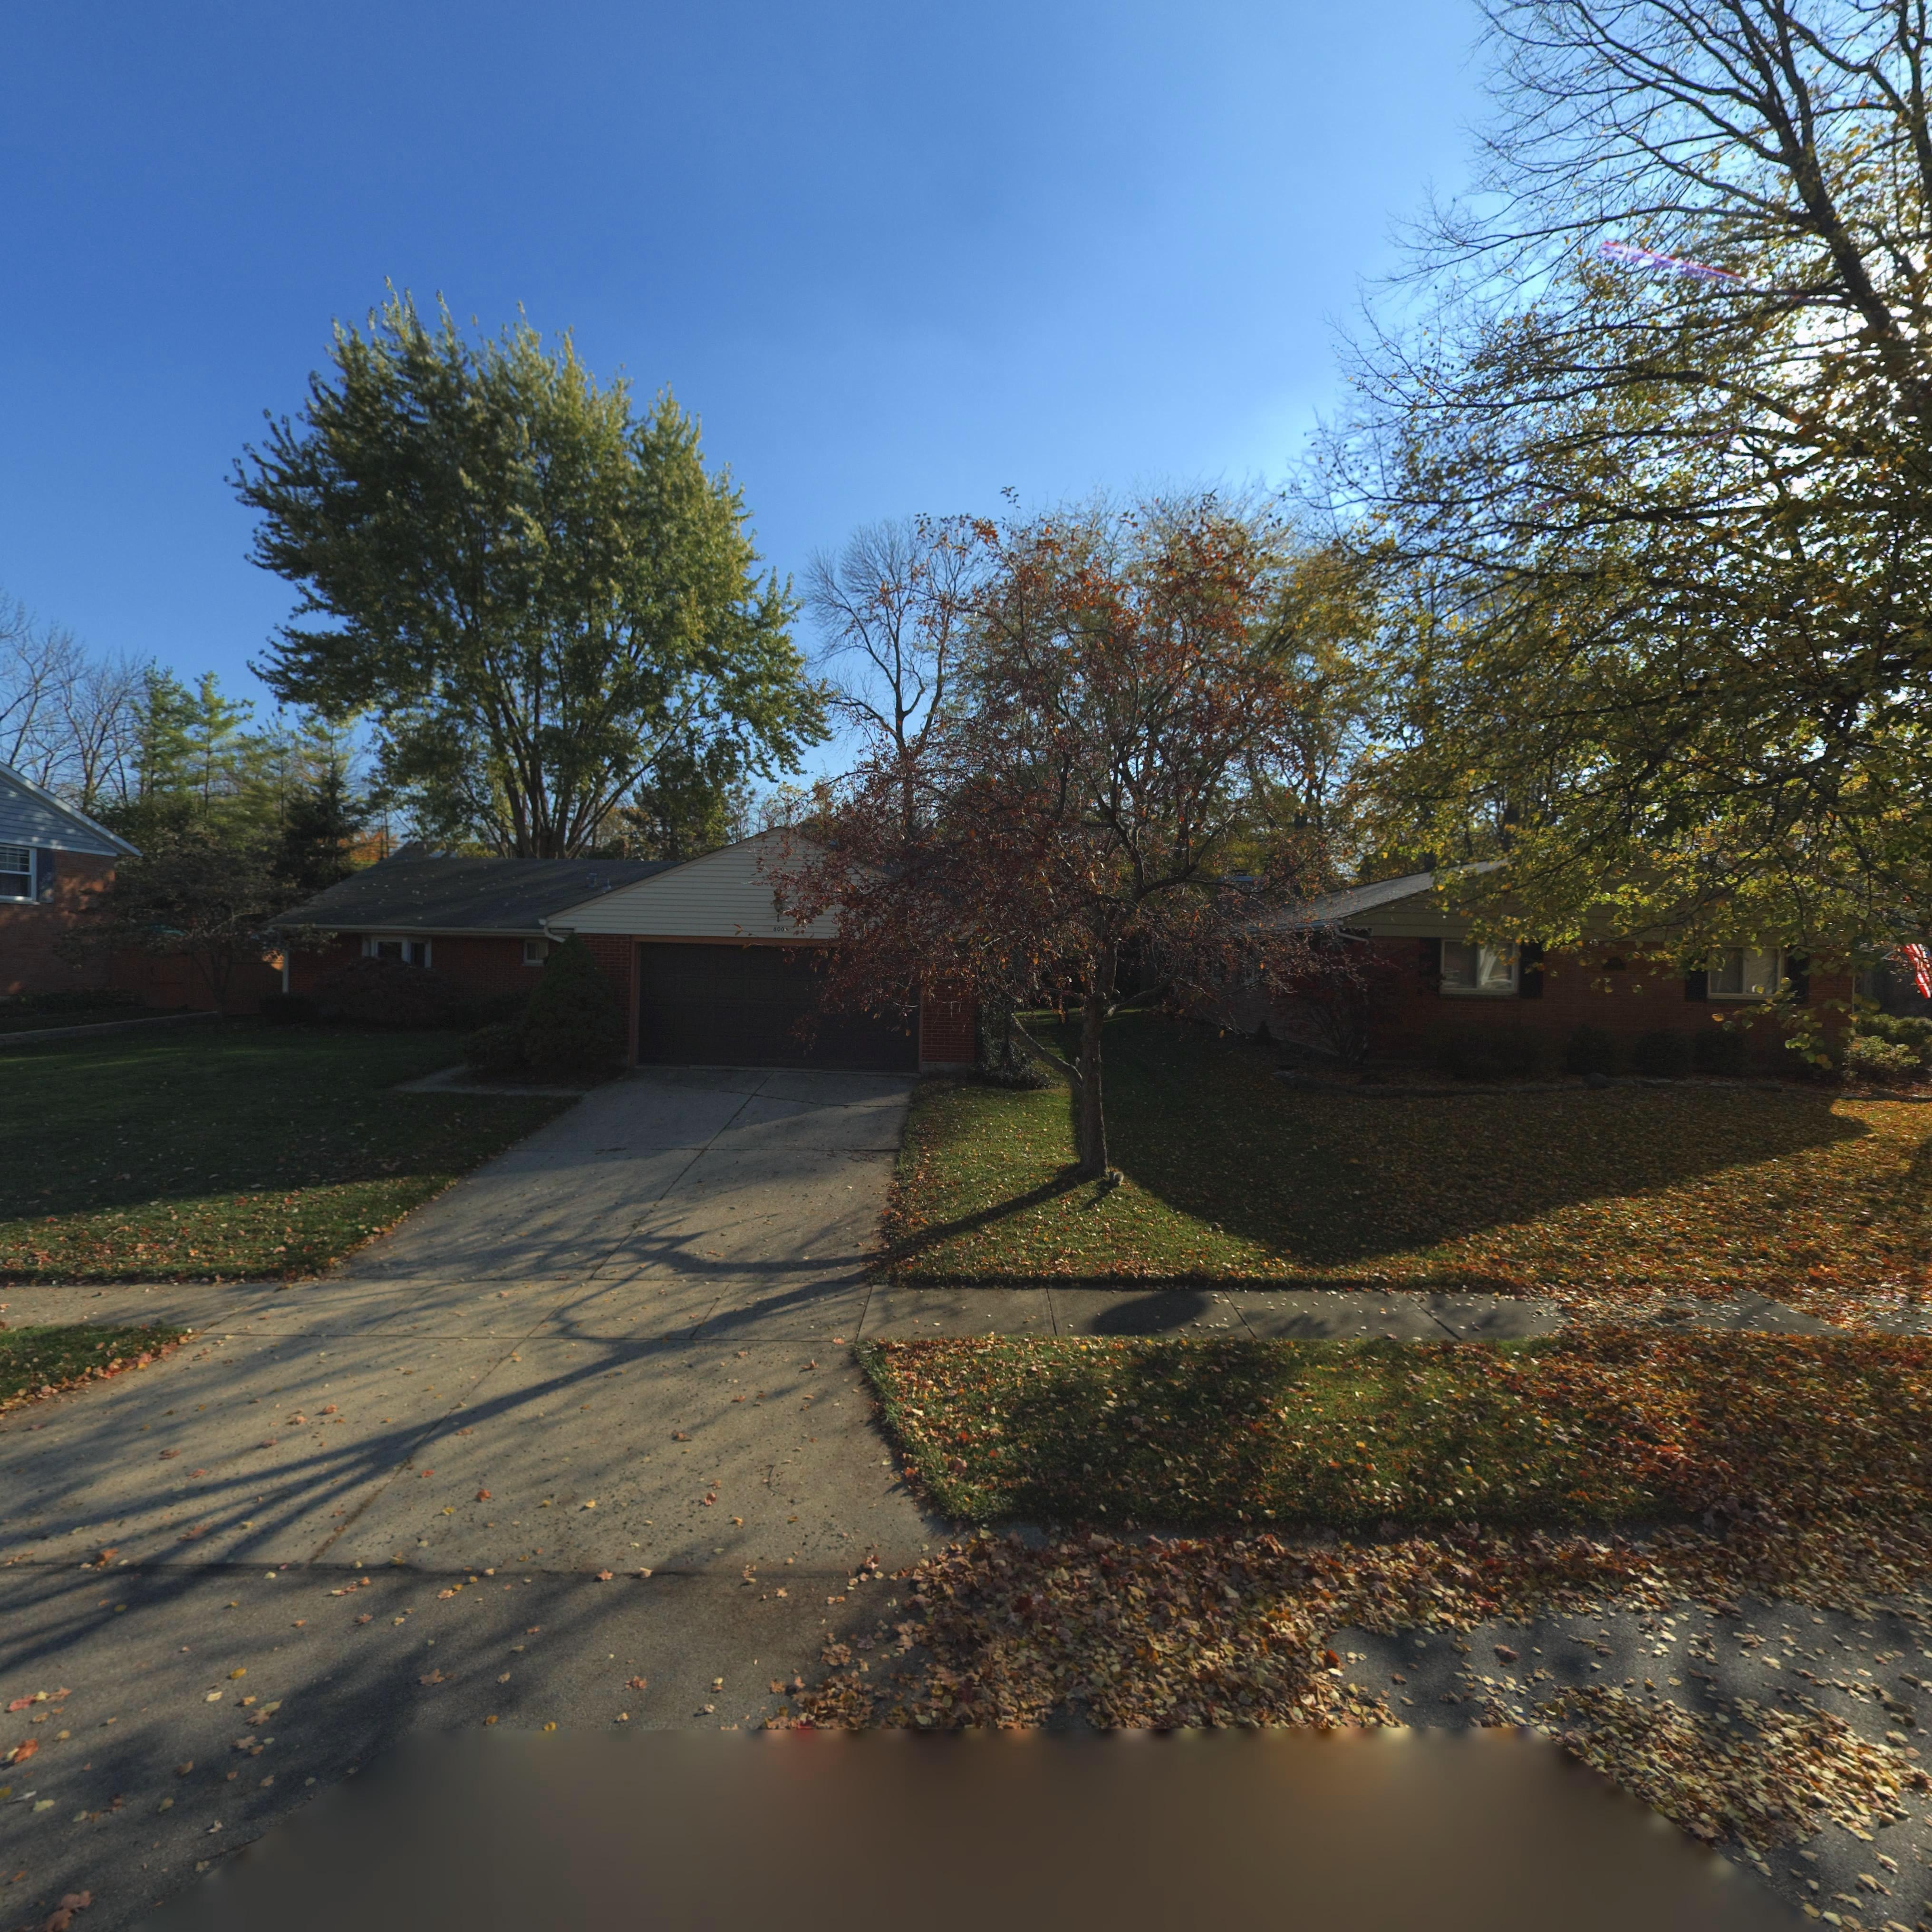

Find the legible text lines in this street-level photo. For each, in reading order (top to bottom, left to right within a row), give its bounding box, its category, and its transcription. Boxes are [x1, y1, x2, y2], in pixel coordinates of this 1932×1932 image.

[773, 926, 785, 933] StreetNumber: 800